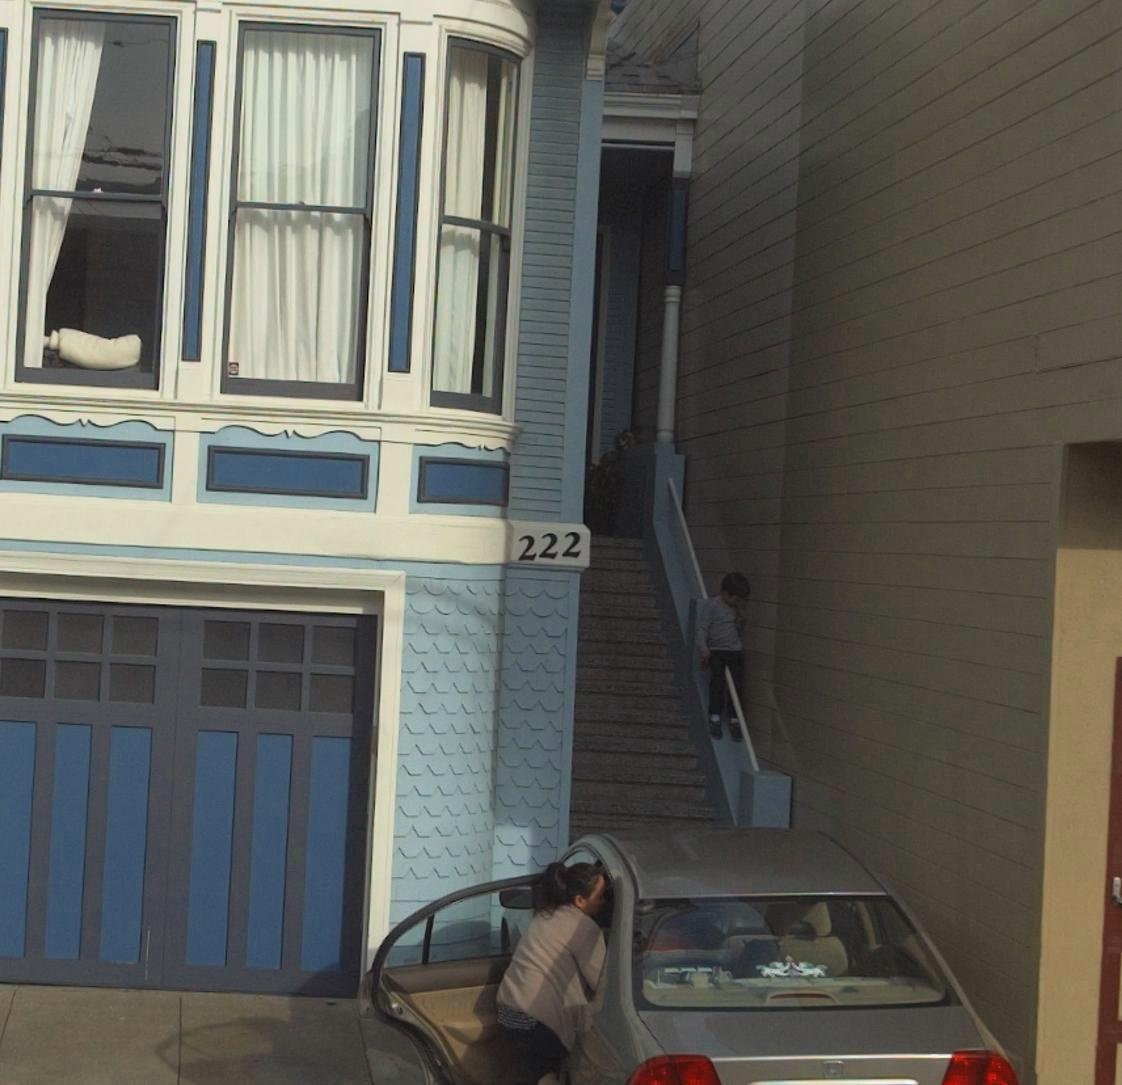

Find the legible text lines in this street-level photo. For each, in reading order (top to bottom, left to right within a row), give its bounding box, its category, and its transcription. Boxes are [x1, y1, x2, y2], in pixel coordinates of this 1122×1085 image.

[516, 531, 581, 562] StreetNumber: 222